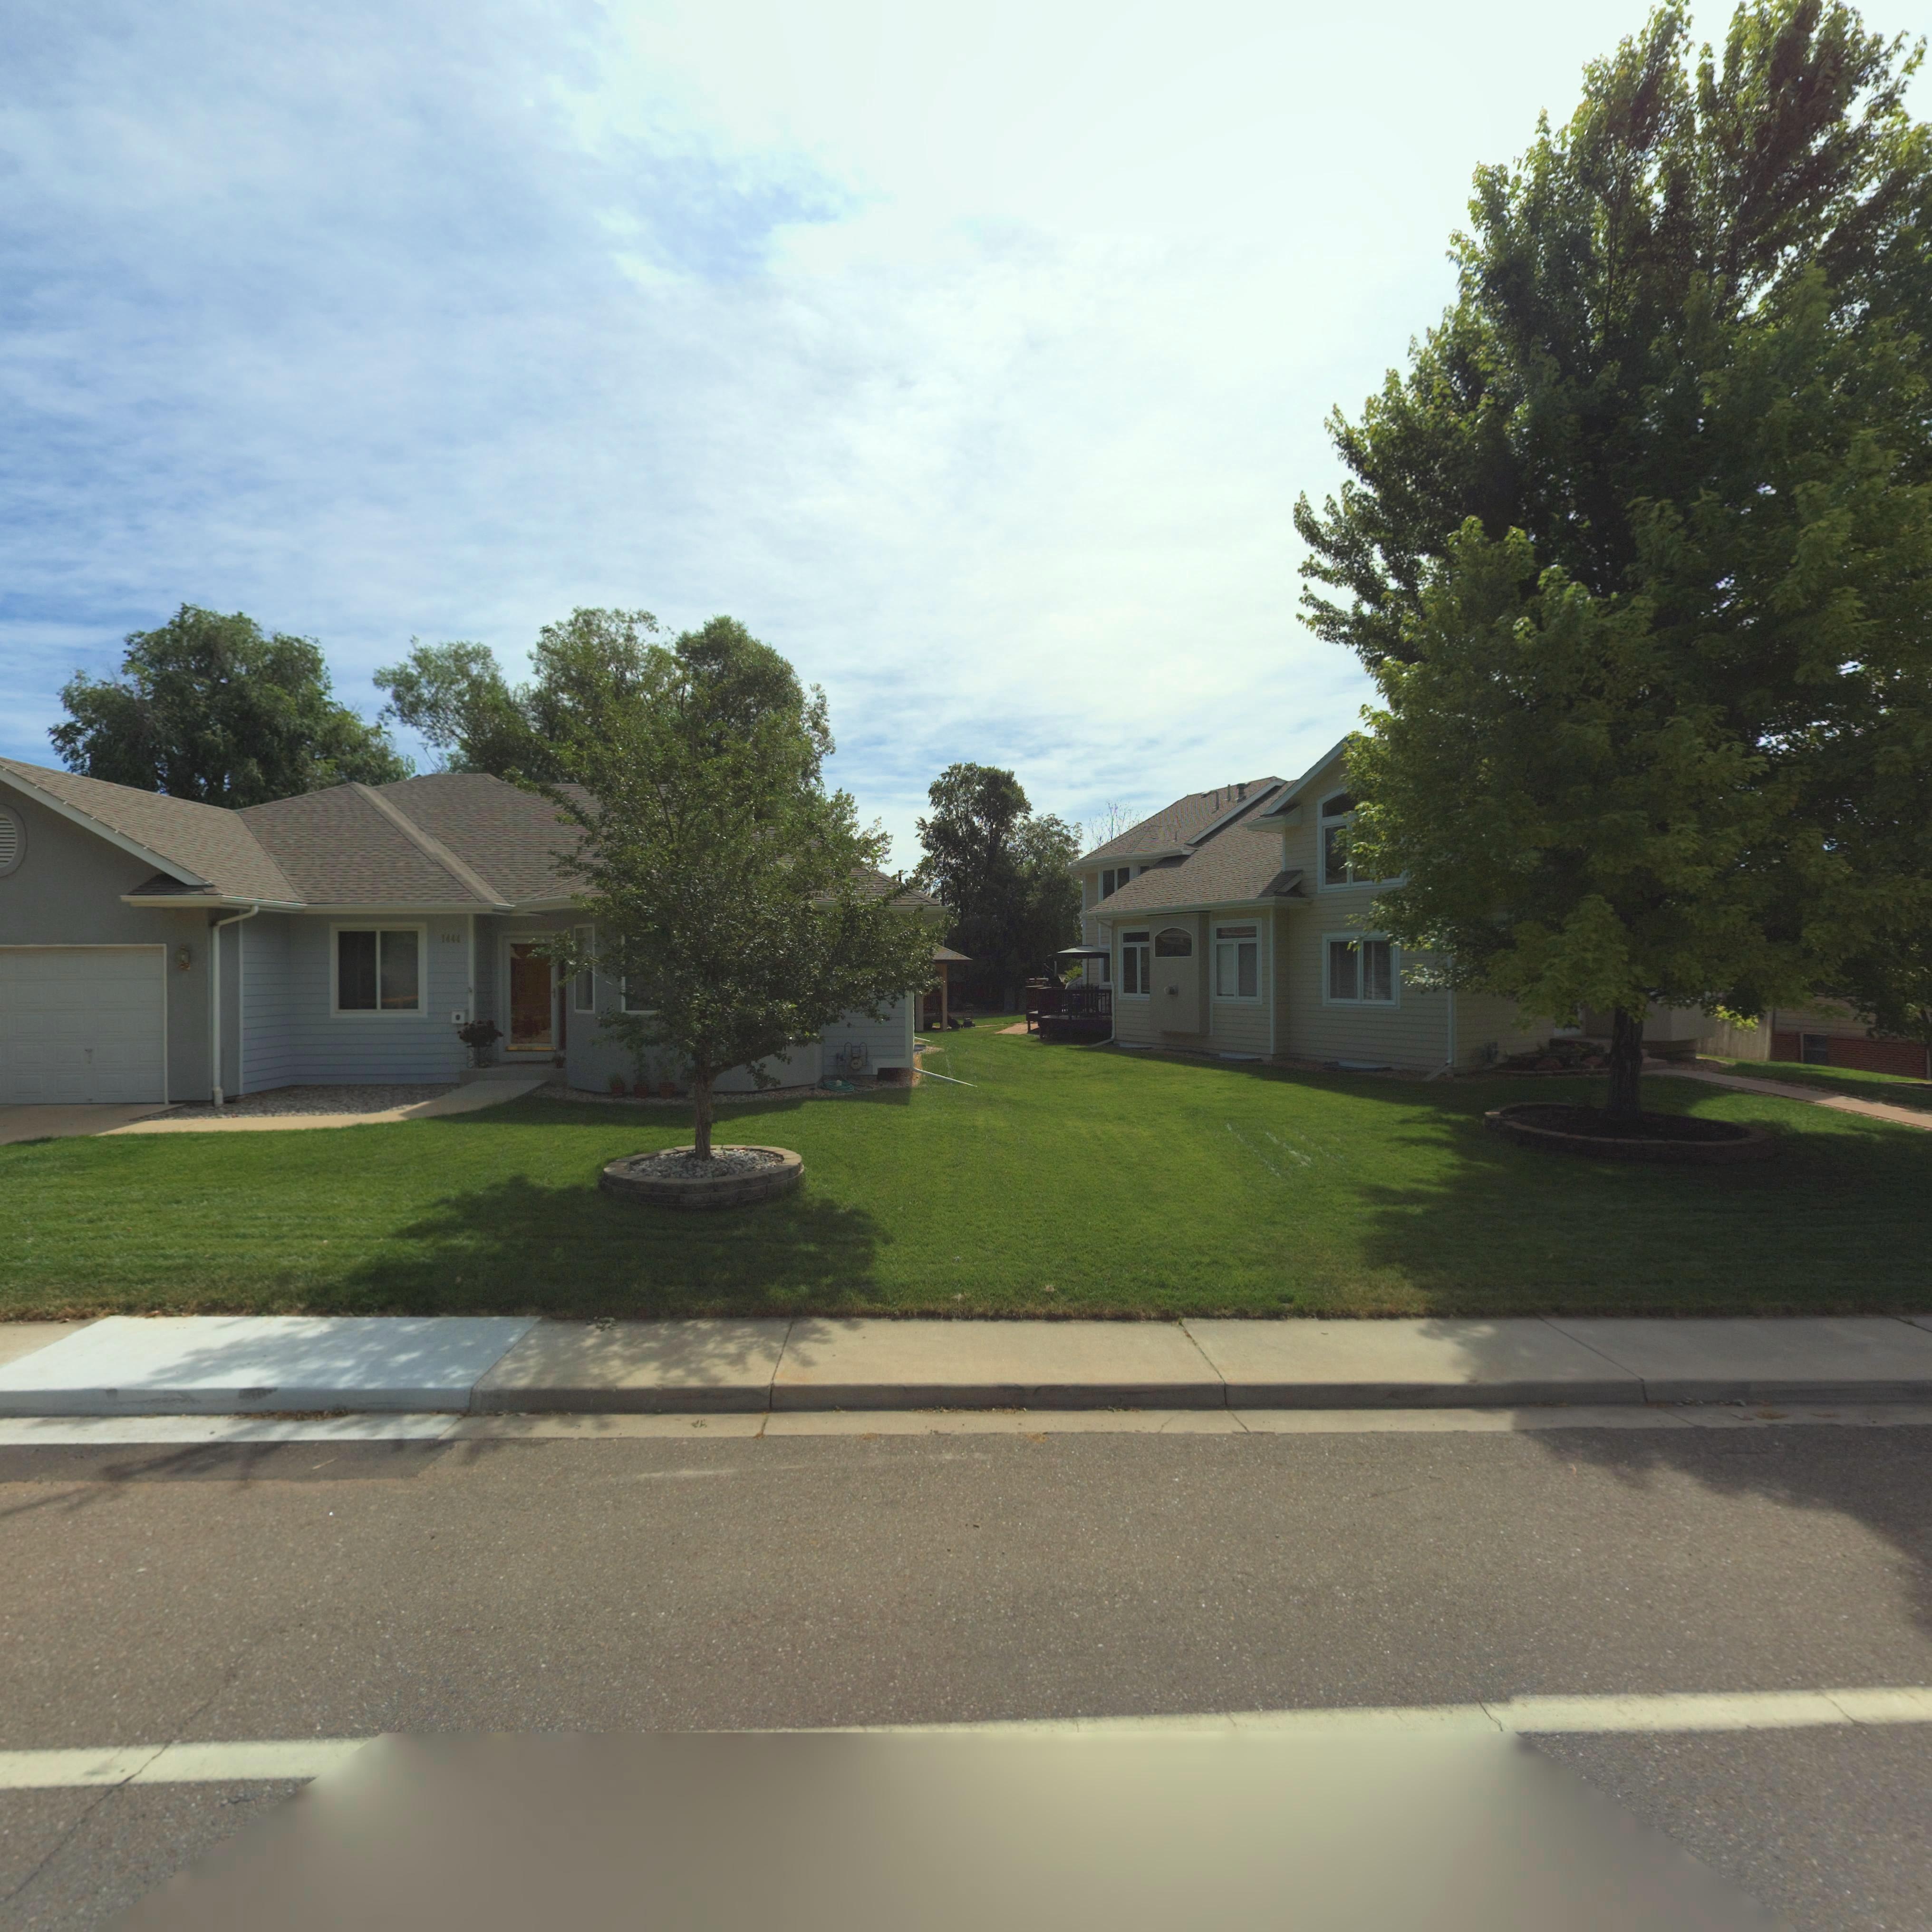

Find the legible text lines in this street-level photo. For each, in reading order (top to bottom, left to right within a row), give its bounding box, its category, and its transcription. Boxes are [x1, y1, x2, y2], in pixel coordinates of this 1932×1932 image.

[441, 934, 461, 943] StreetNumber: 1444